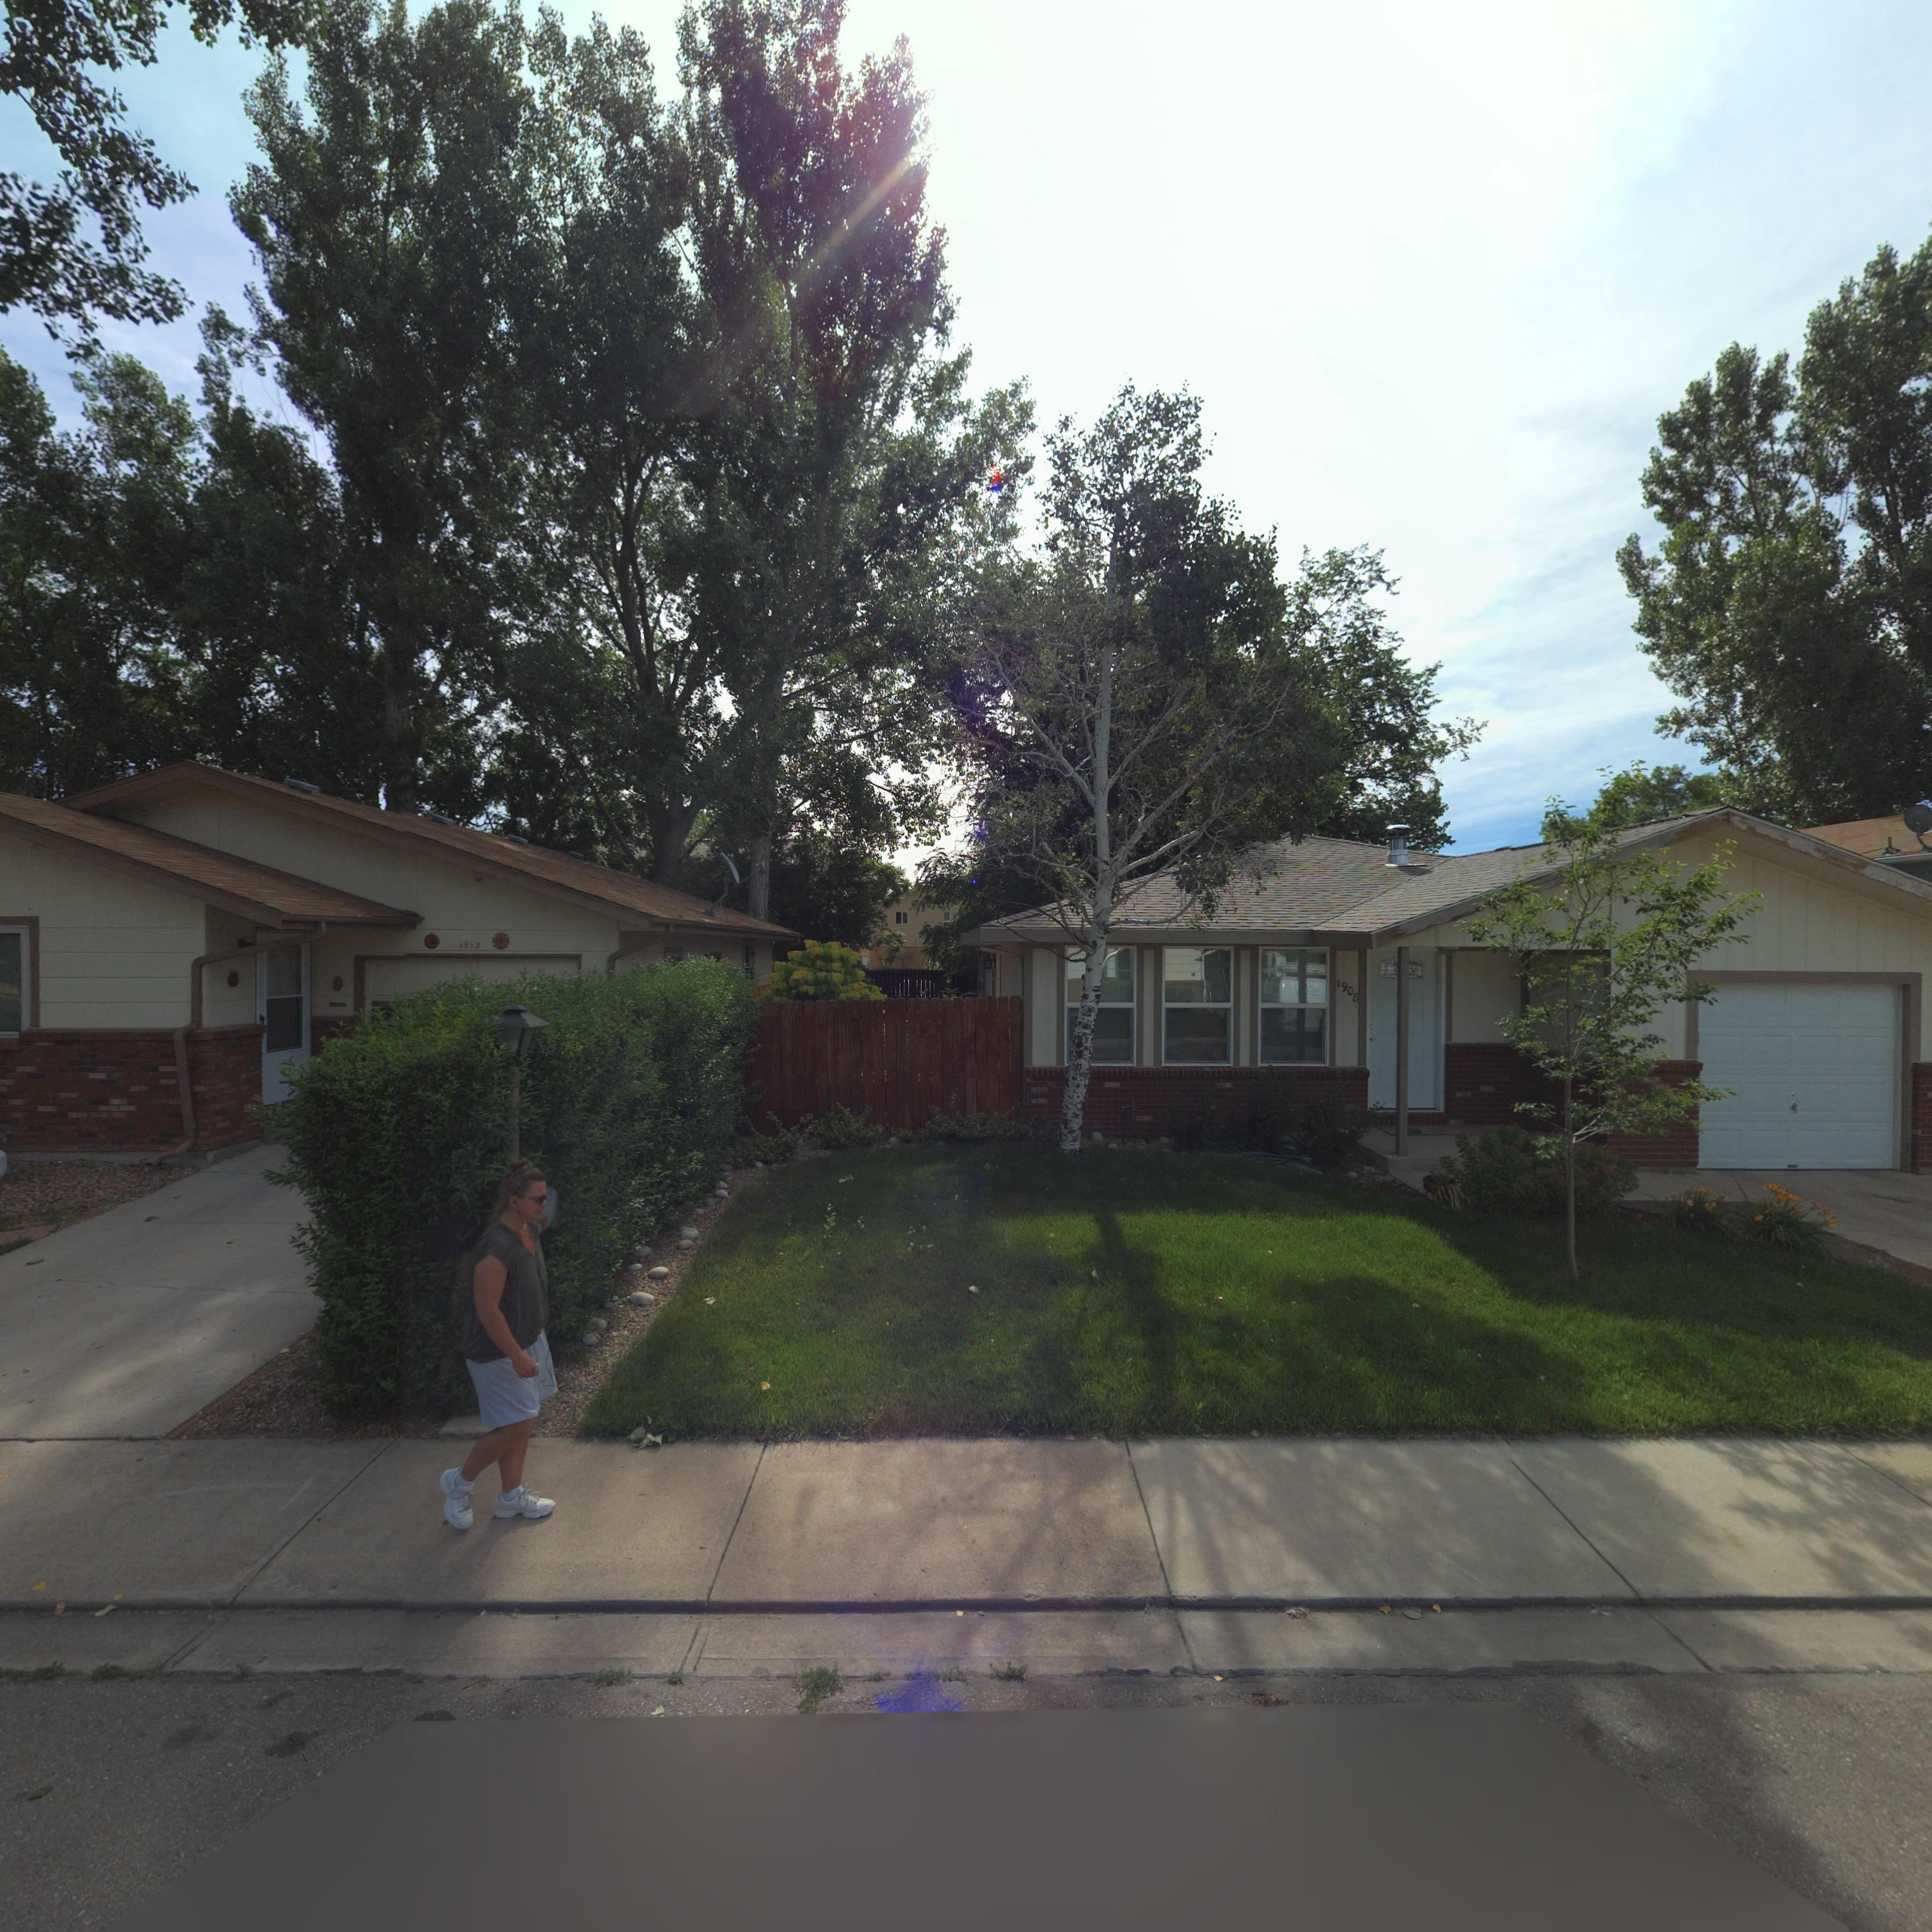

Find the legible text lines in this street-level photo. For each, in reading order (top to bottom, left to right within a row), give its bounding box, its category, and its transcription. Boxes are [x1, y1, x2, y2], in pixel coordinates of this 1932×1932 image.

[458, 940, 480, 949] StreetNumber: 1912
[1337, 977, 1359, 1002] StreetNumber: 1908